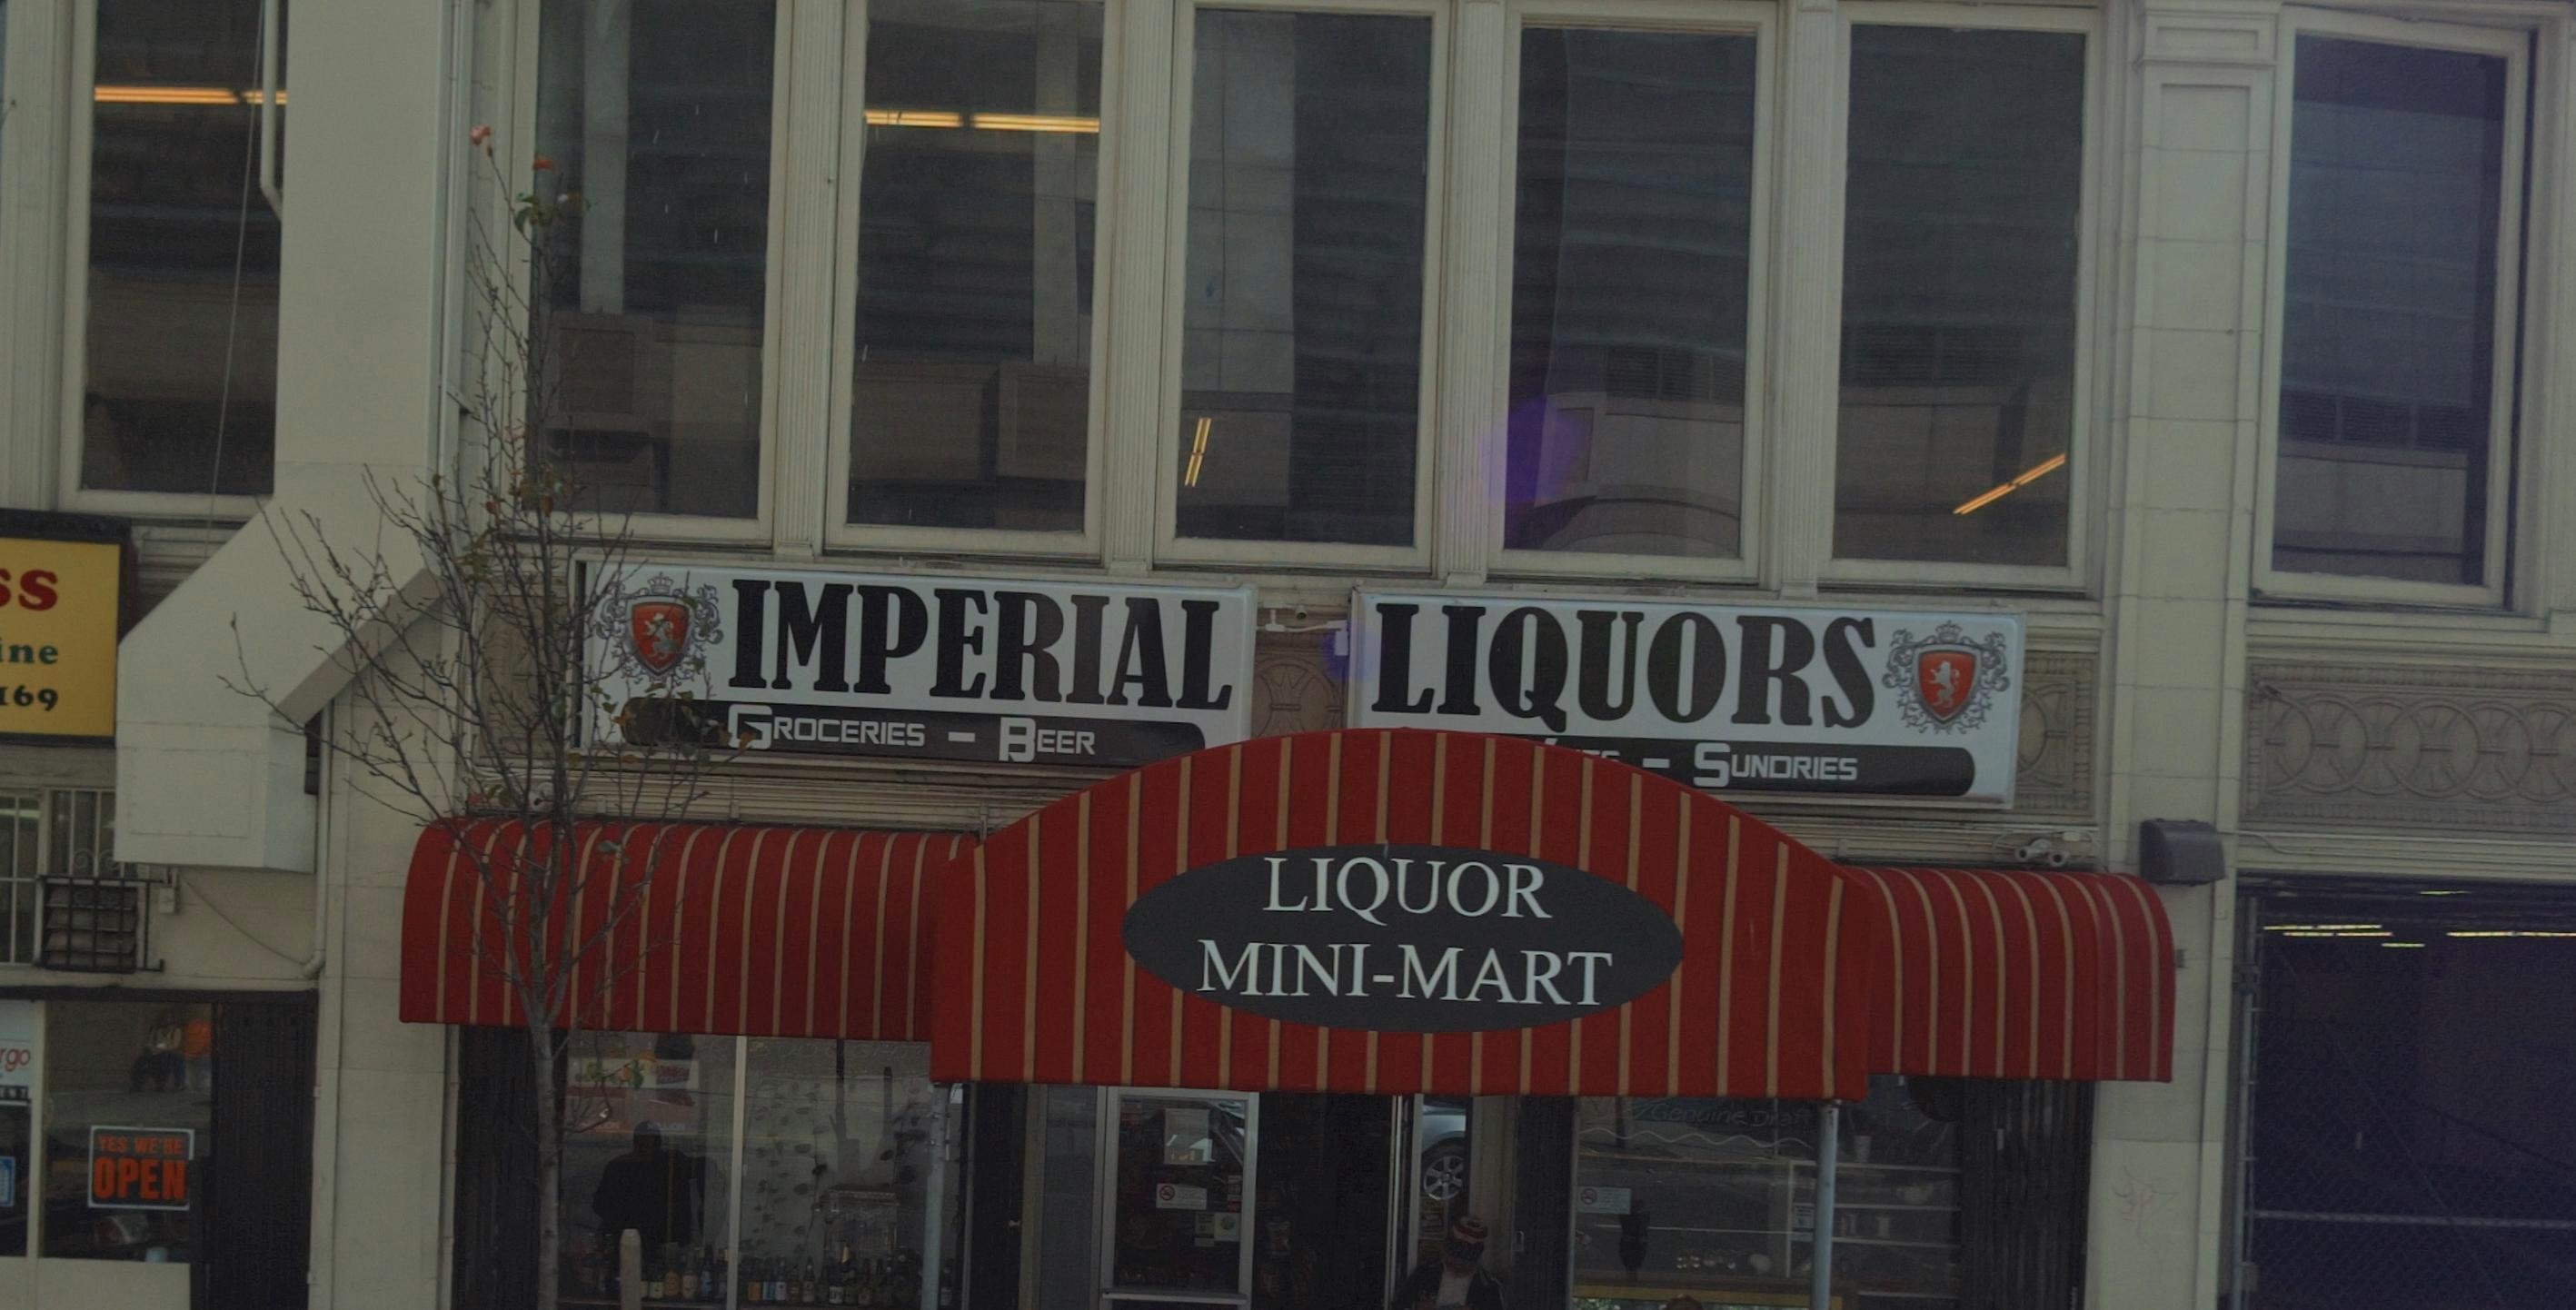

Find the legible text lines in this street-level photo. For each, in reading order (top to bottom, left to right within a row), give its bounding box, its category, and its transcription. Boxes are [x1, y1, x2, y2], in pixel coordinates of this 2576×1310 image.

[15, 562, 61, 616] None: S
[5, 640, 61, 667] None: ne
[721, 571, 1239, 715] BusinessName: IMPERIAL
[1362, 593, 1884, 741] BusinessName: LIQUORS
[10, 680, 61, 715] None: 69
[722, 698, 1099, 767] None: GROCERIES - BEER
[1688, 734, 1861, 792] None: SUNDRIES
[1256, 849, 1559, 934] None: LIQUOR
[1191, 933, 1618, 1010] None: MINI-MART
[1, 1045, 34, 1075] None: go
[95, 1132, 185, 1157] None: YES WE'RE
[91, 1152, 190, 1203] None: OPEN